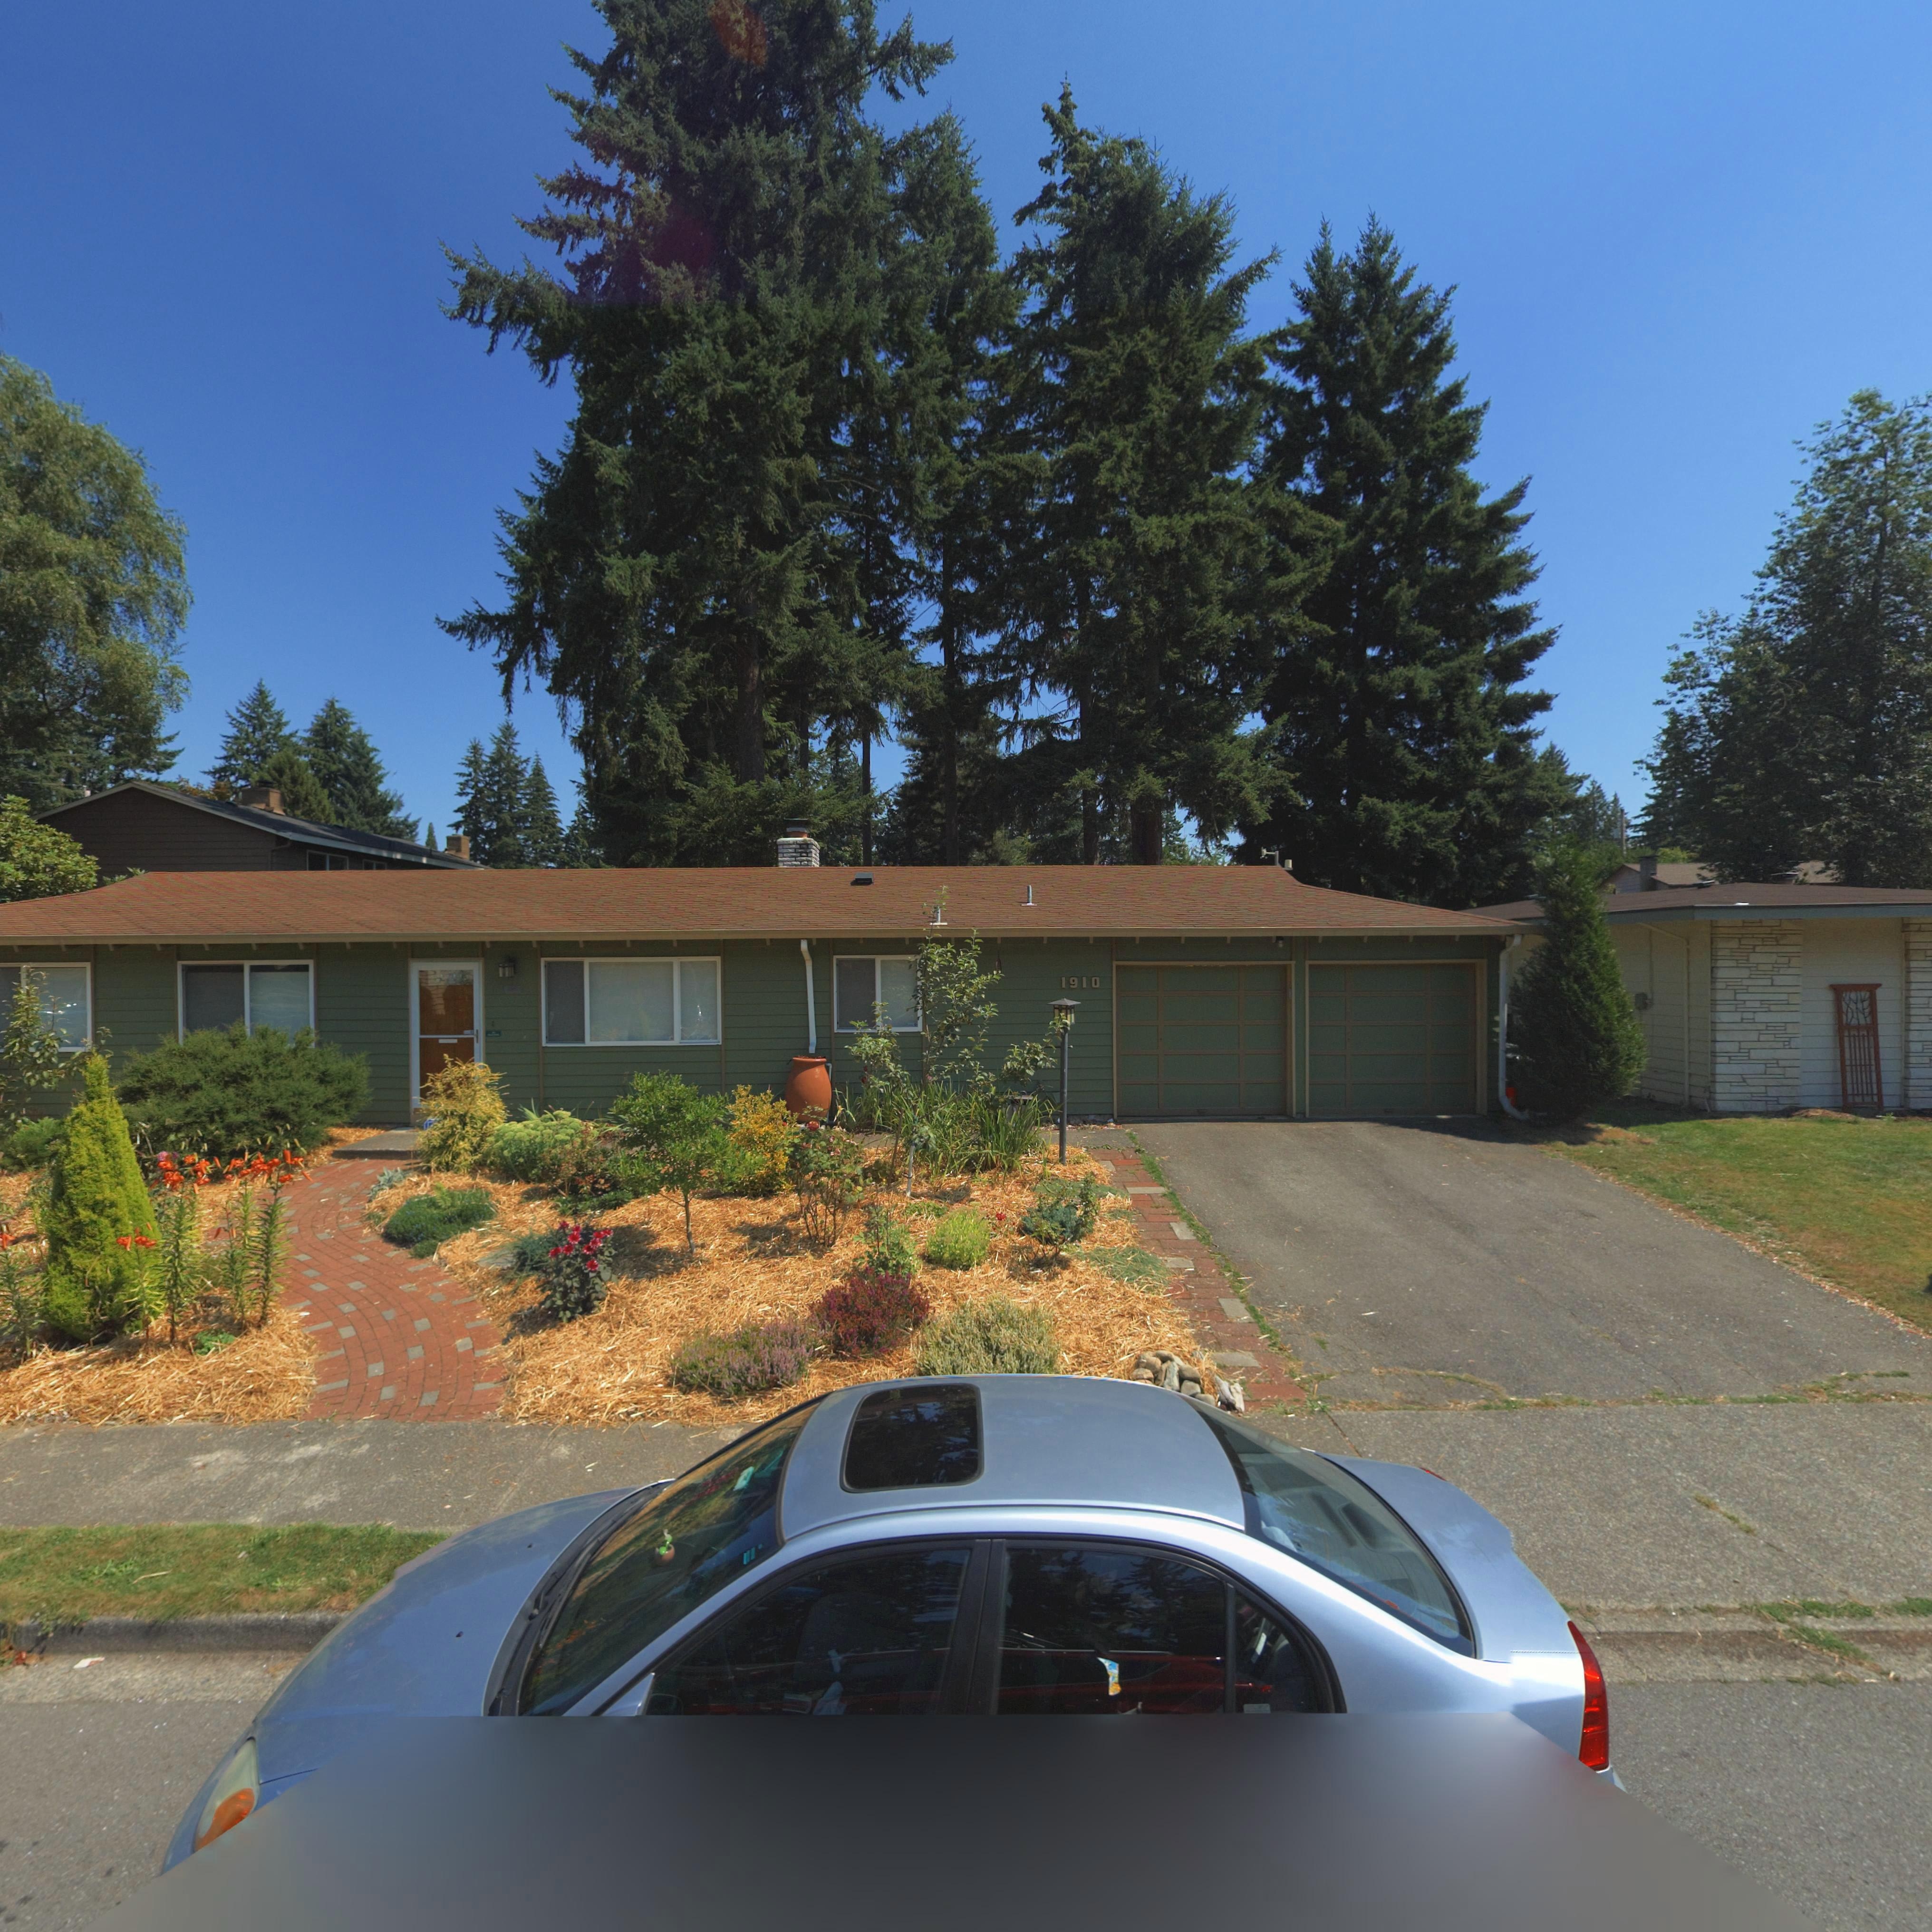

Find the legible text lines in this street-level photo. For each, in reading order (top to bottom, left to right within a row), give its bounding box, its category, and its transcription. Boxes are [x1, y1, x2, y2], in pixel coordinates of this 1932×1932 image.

[1061, 976, 1100, 989] StreetNumber: 1910